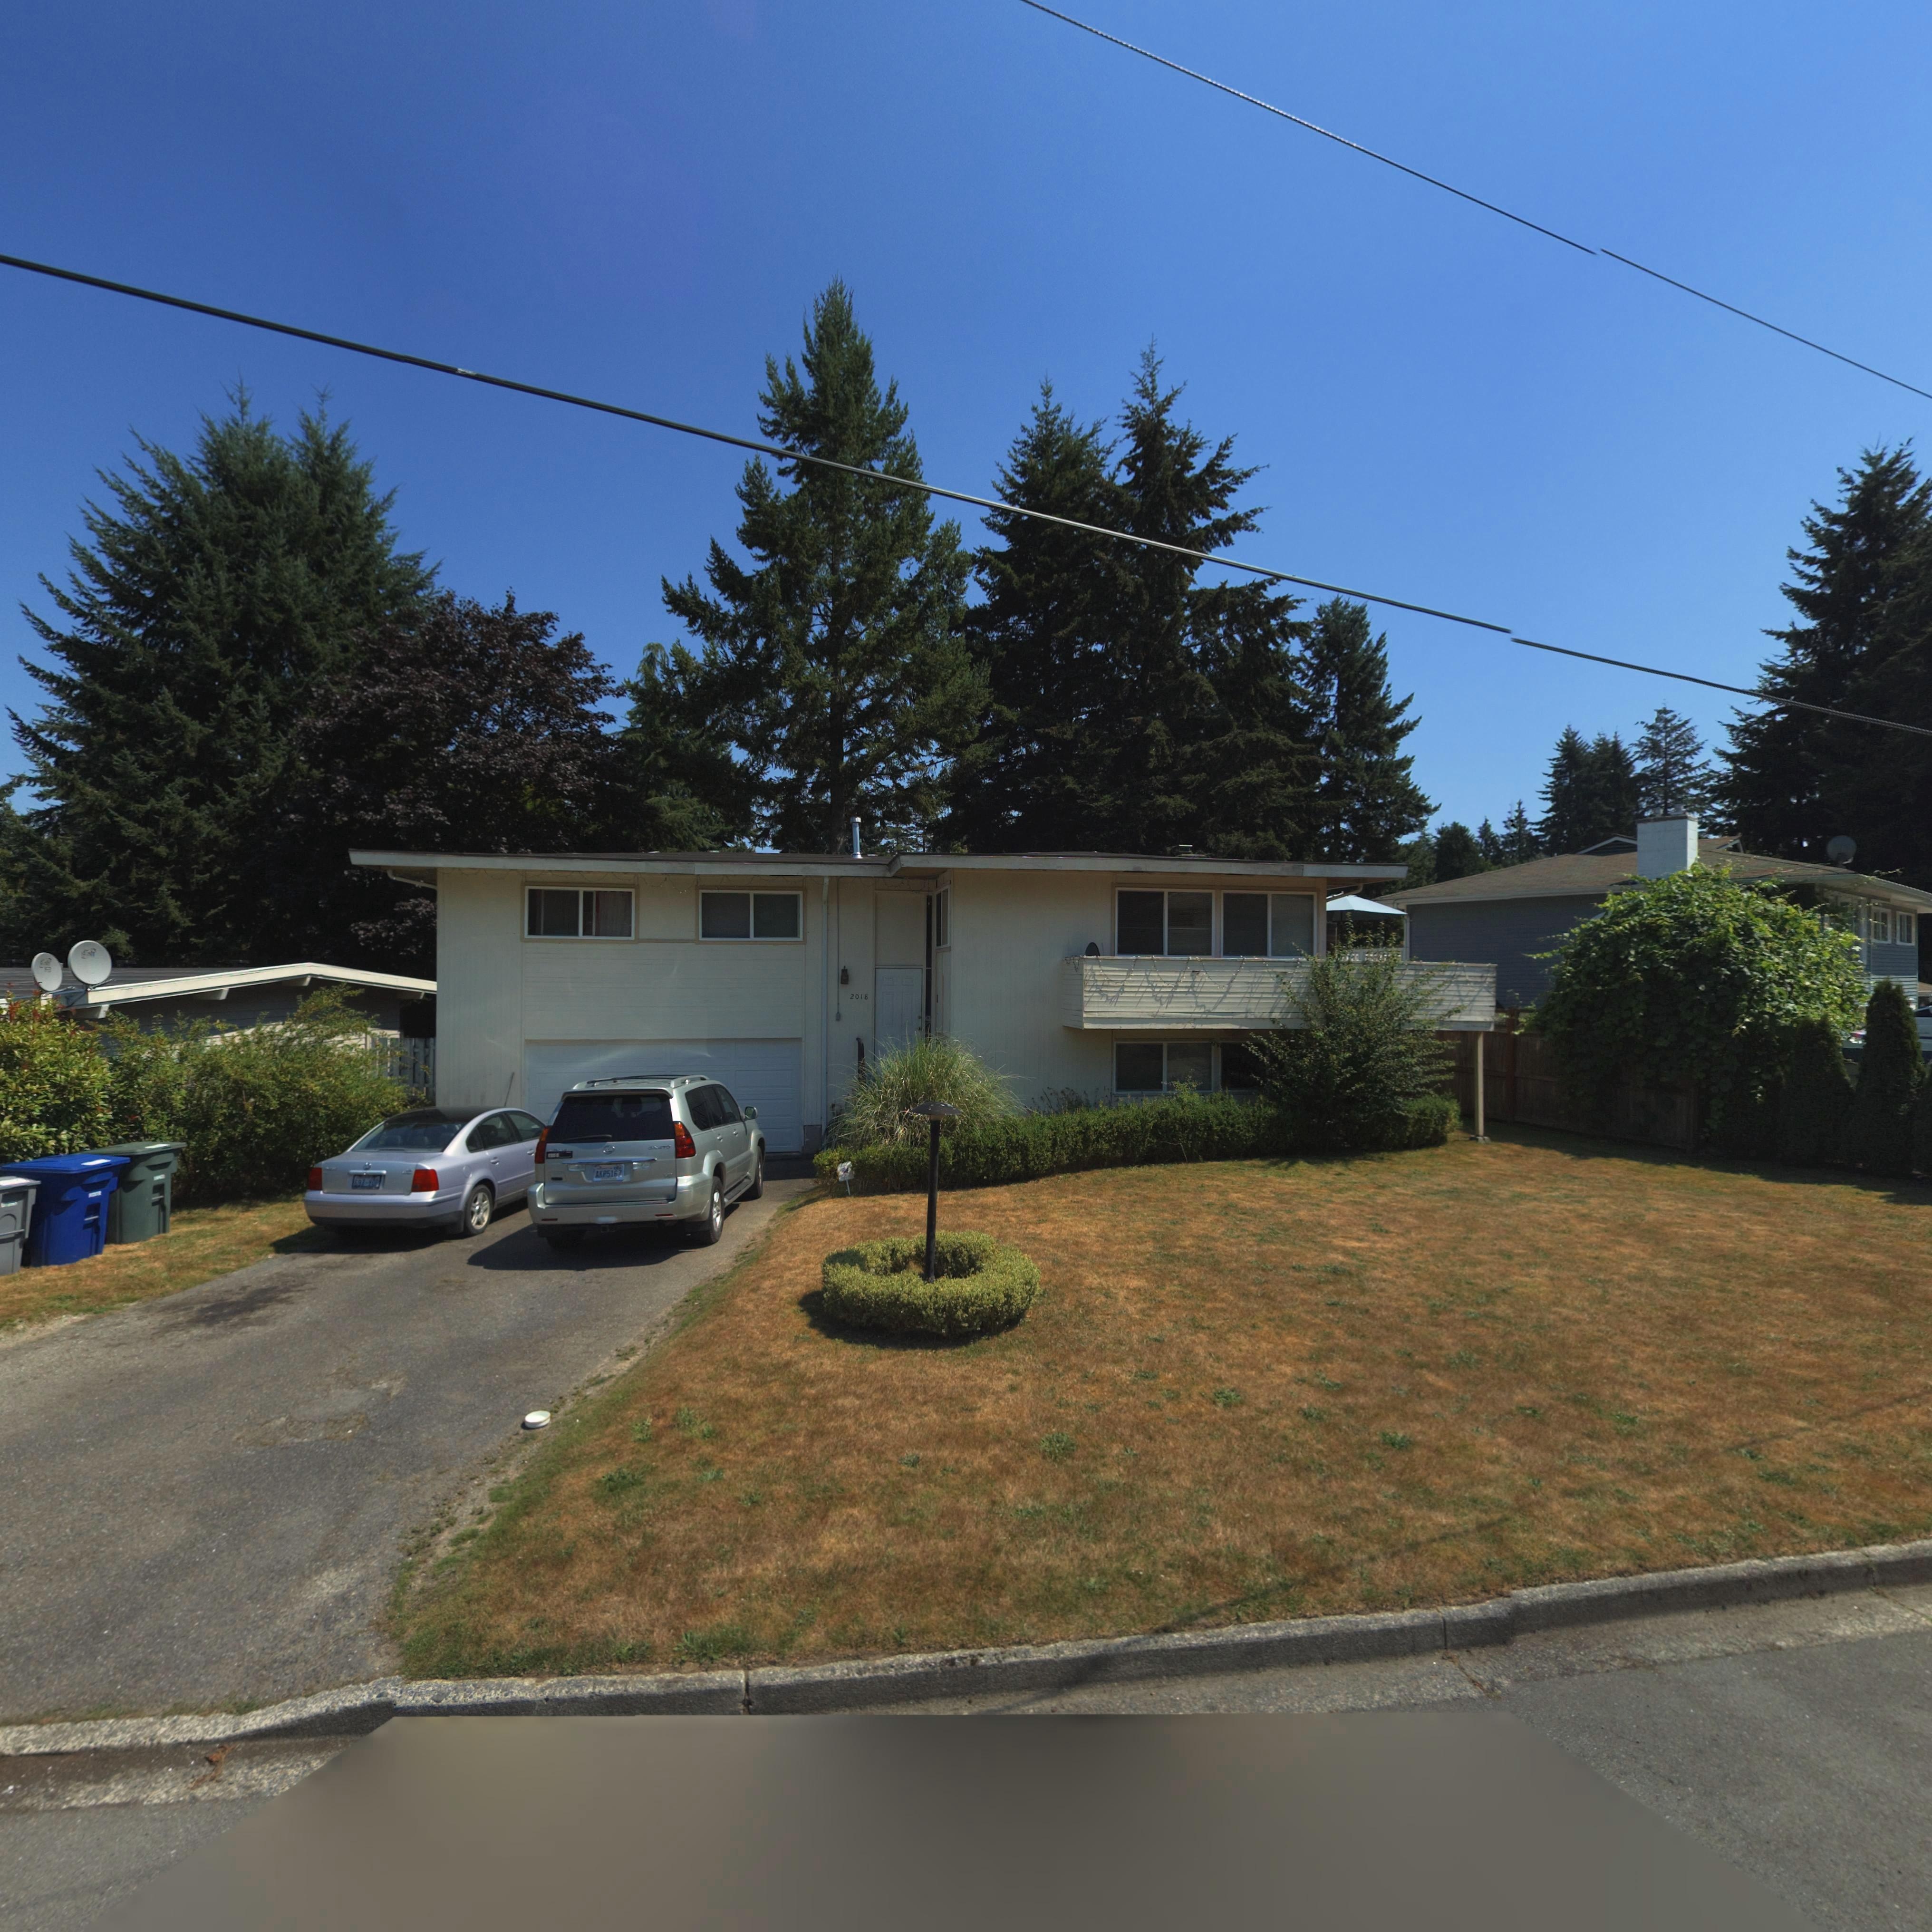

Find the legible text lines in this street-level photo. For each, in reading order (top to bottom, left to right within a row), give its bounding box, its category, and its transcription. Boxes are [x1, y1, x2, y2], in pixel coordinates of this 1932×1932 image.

[849, 991, 869, 1002] StreetNumber: 2018